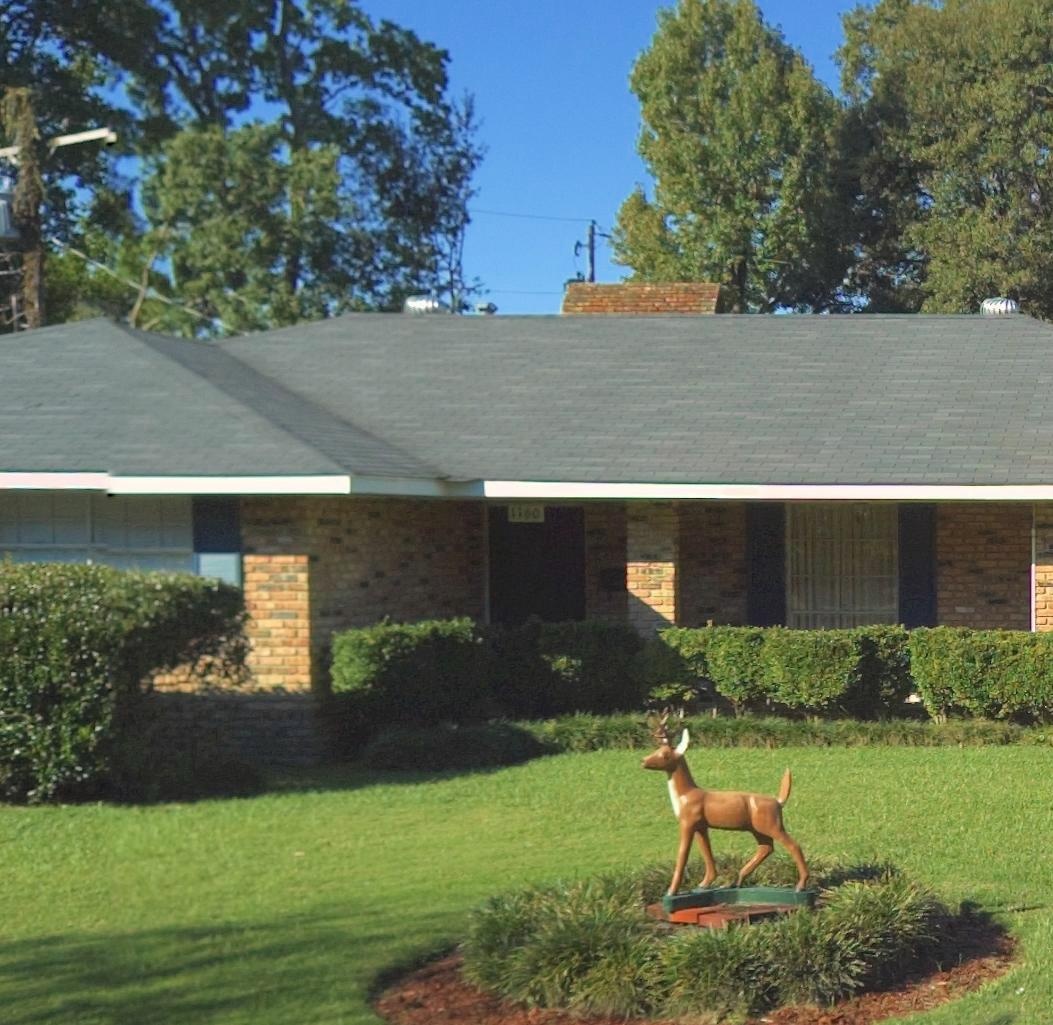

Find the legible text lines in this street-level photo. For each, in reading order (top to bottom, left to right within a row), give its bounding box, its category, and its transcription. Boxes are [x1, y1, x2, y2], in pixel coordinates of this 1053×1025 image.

[509, 505, 542, 521] StreetNumber: 1160